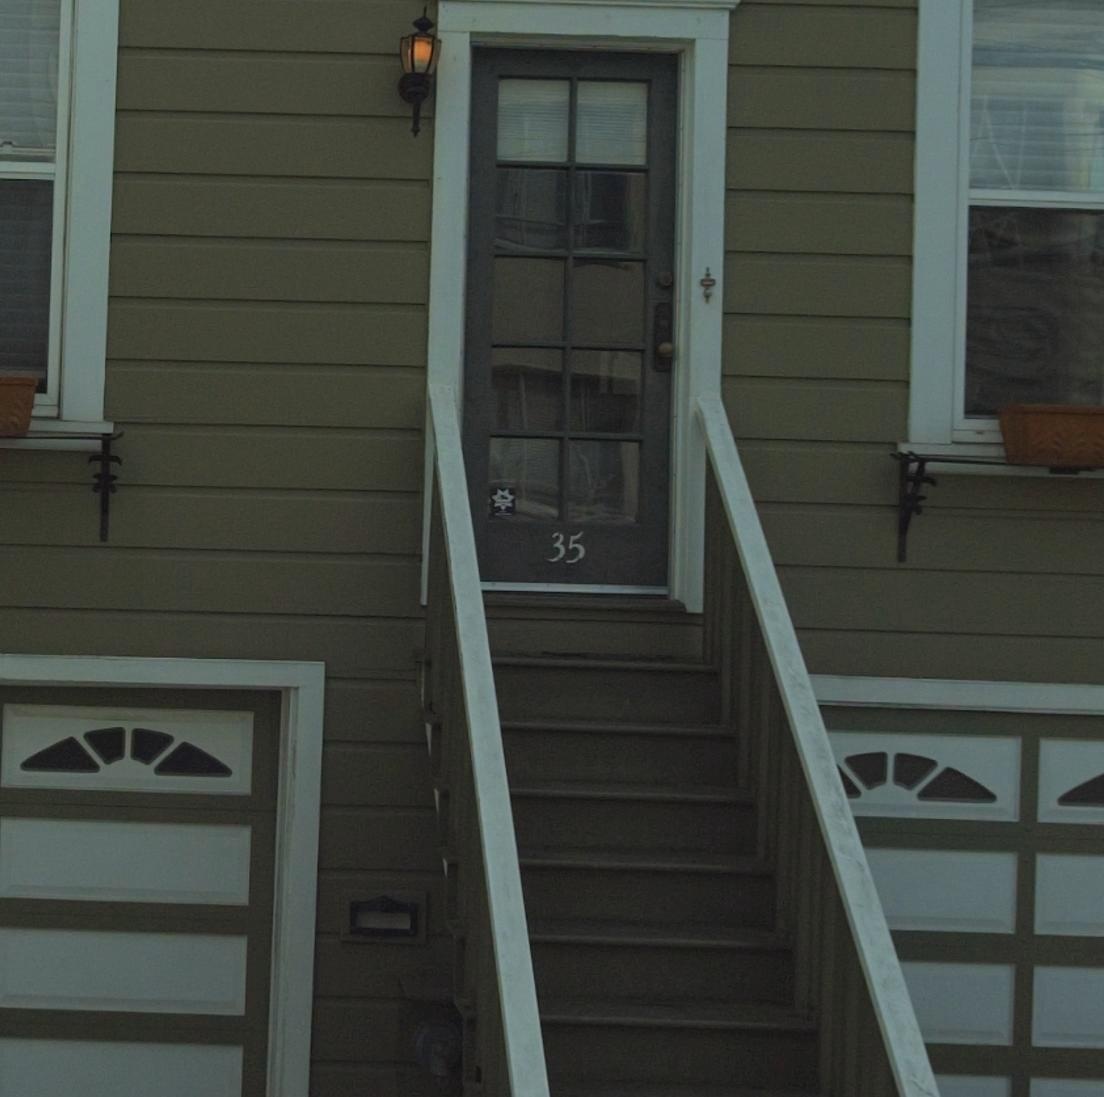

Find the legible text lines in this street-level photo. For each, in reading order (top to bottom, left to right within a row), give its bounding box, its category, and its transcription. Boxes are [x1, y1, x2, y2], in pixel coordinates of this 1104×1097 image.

[544, 528, 588, 567] StreetNumber: 35